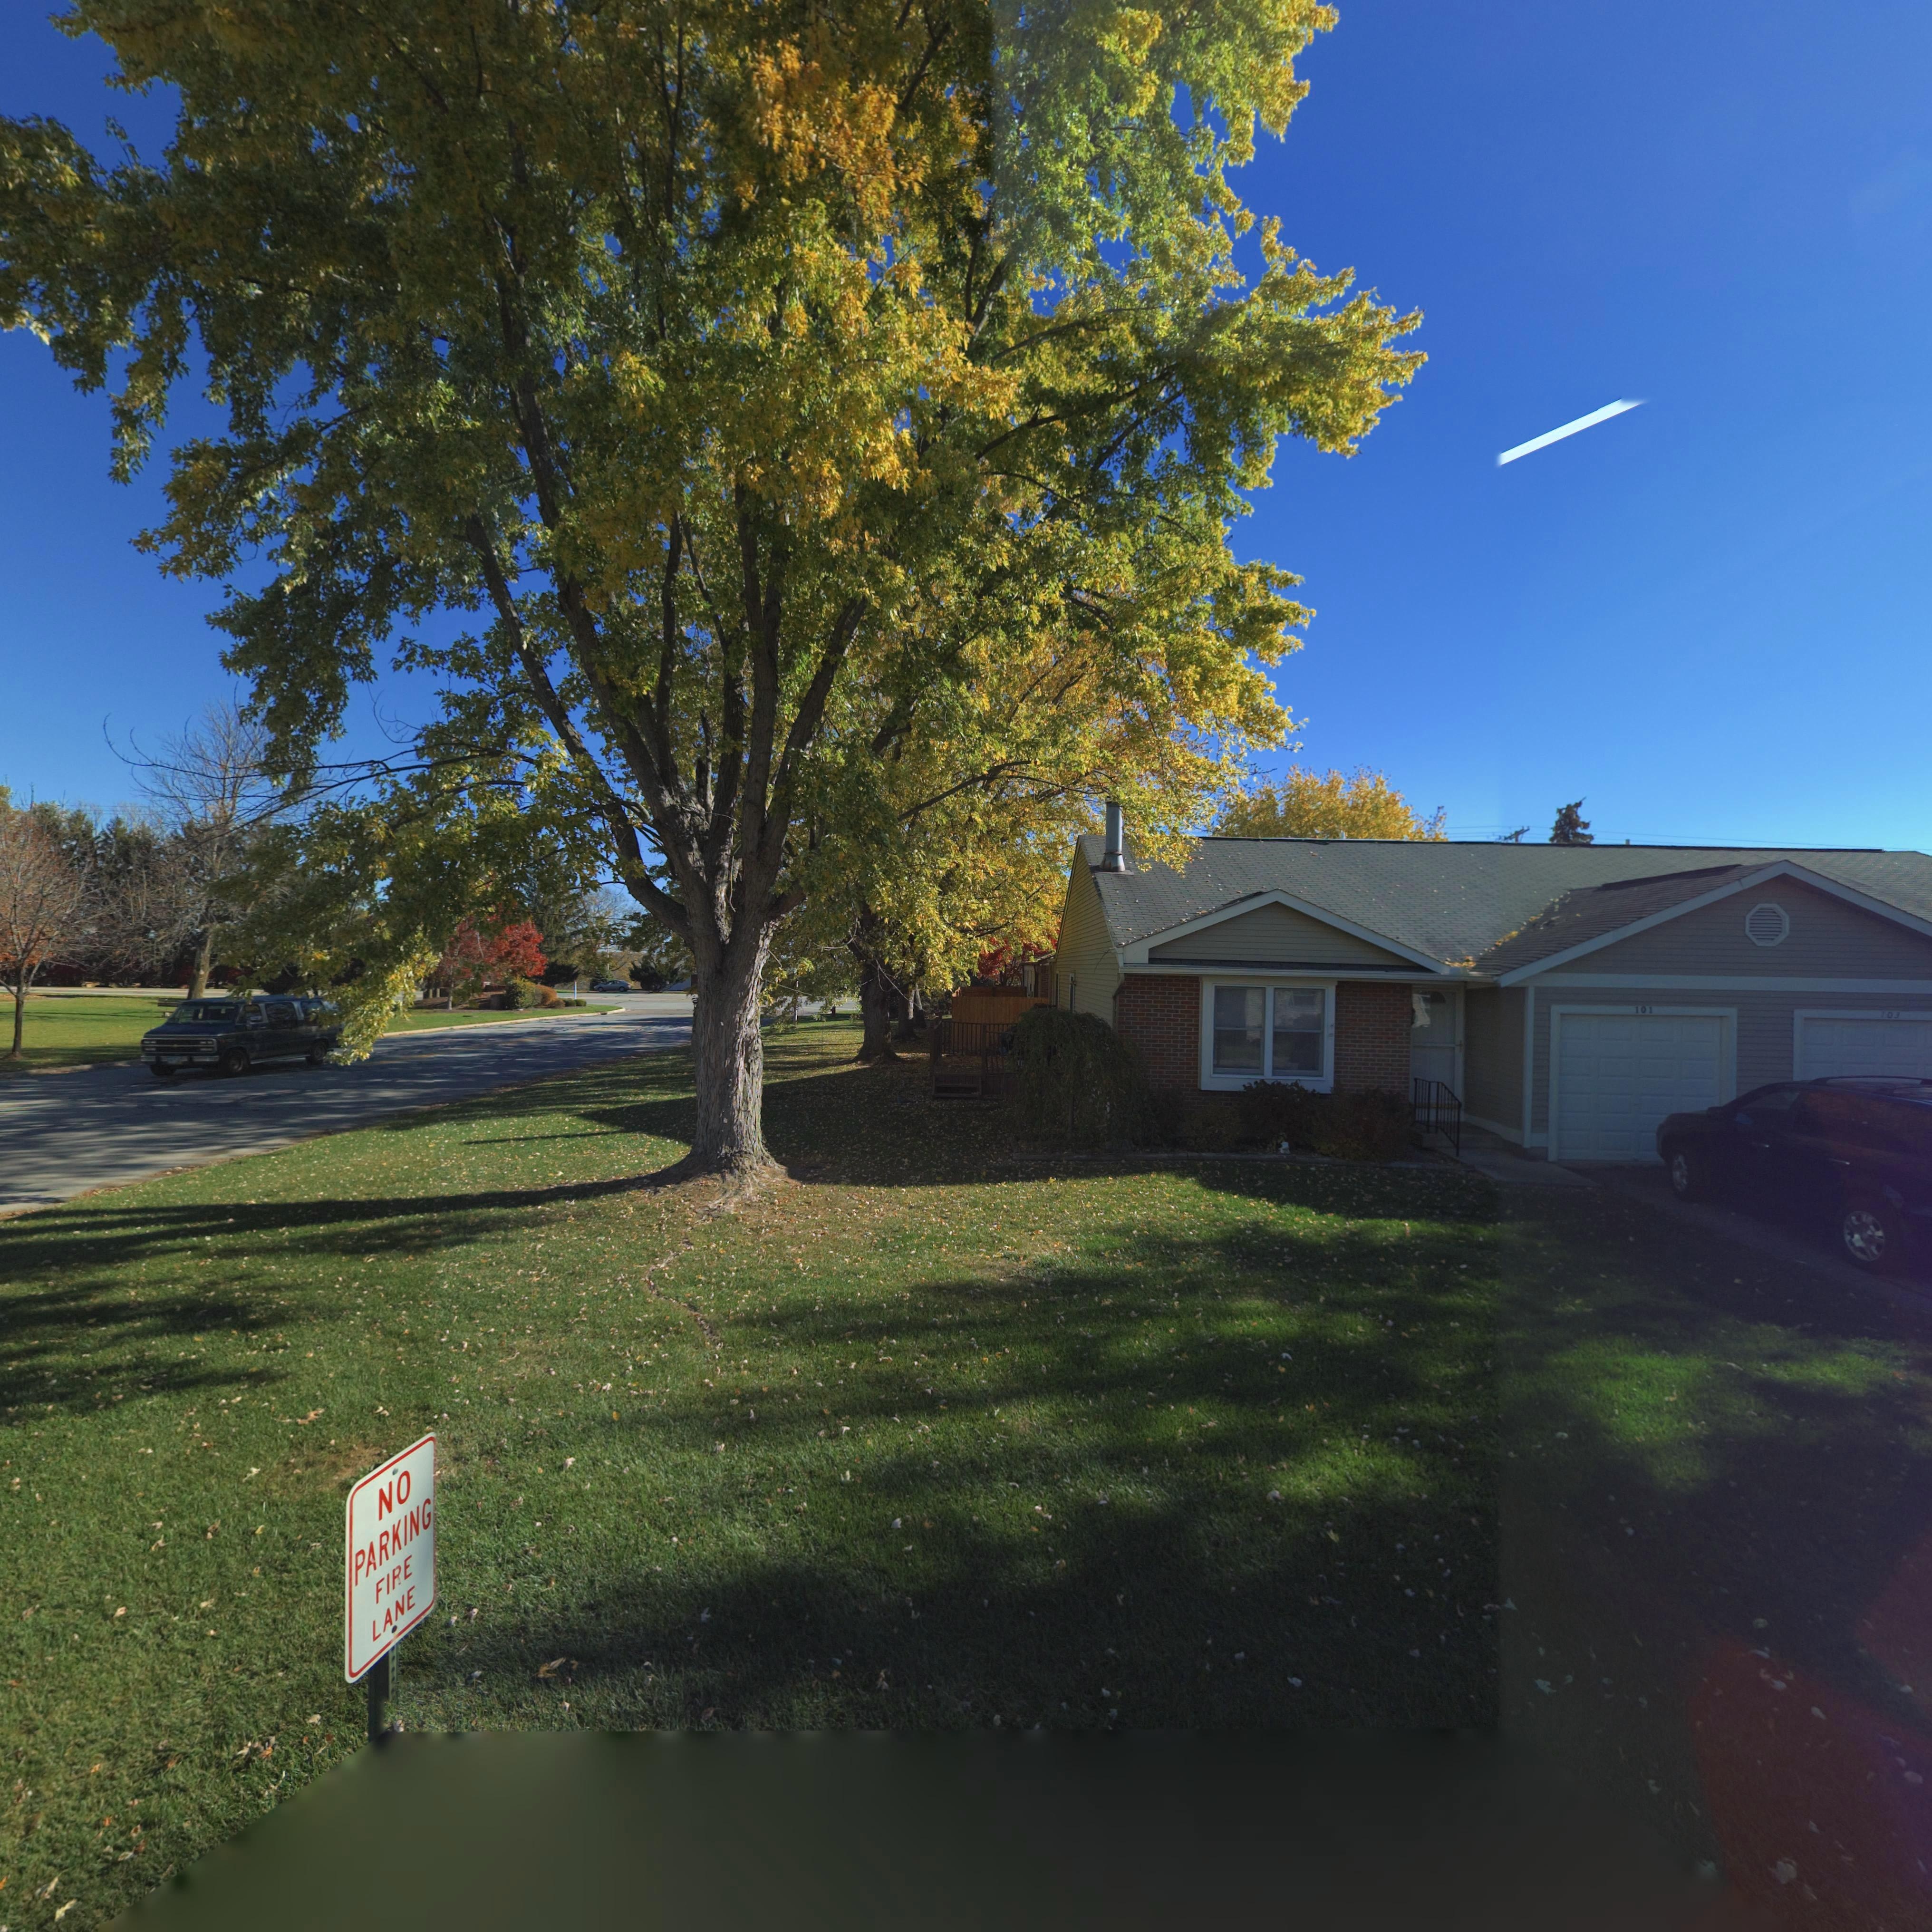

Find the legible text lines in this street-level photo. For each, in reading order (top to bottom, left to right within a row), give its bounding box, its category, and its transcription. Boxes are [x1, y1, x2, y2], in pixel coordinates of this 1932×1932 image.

[1634, 1005, 1653, 1015] StreetNumber: 101
[1879, 1010, 1901, 1019] StreetNumber: 103